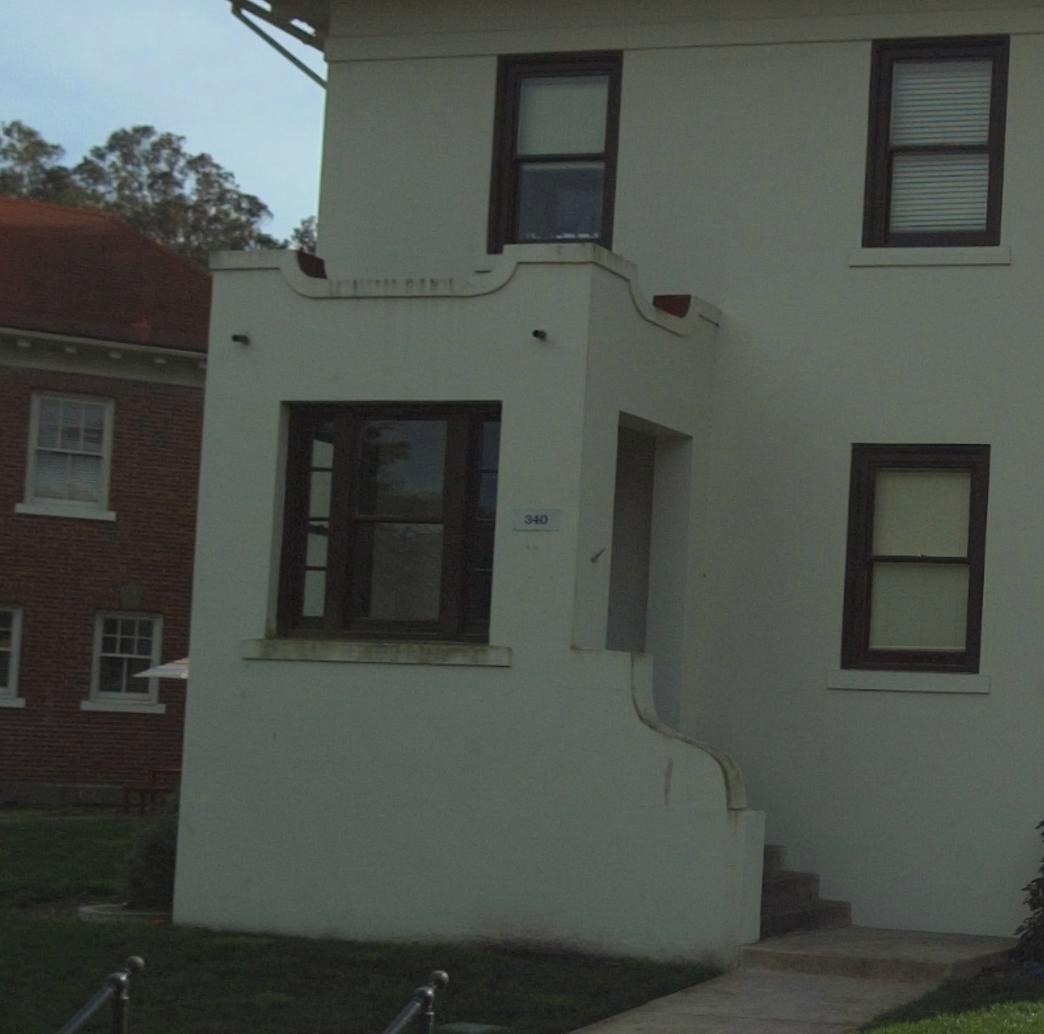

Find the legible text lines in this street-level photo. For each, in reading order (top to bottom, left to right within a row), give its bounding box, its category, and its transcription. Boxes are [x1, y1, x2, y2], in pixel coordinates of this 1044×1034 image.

[523, 513, 550, 526] StreetNumber: 340